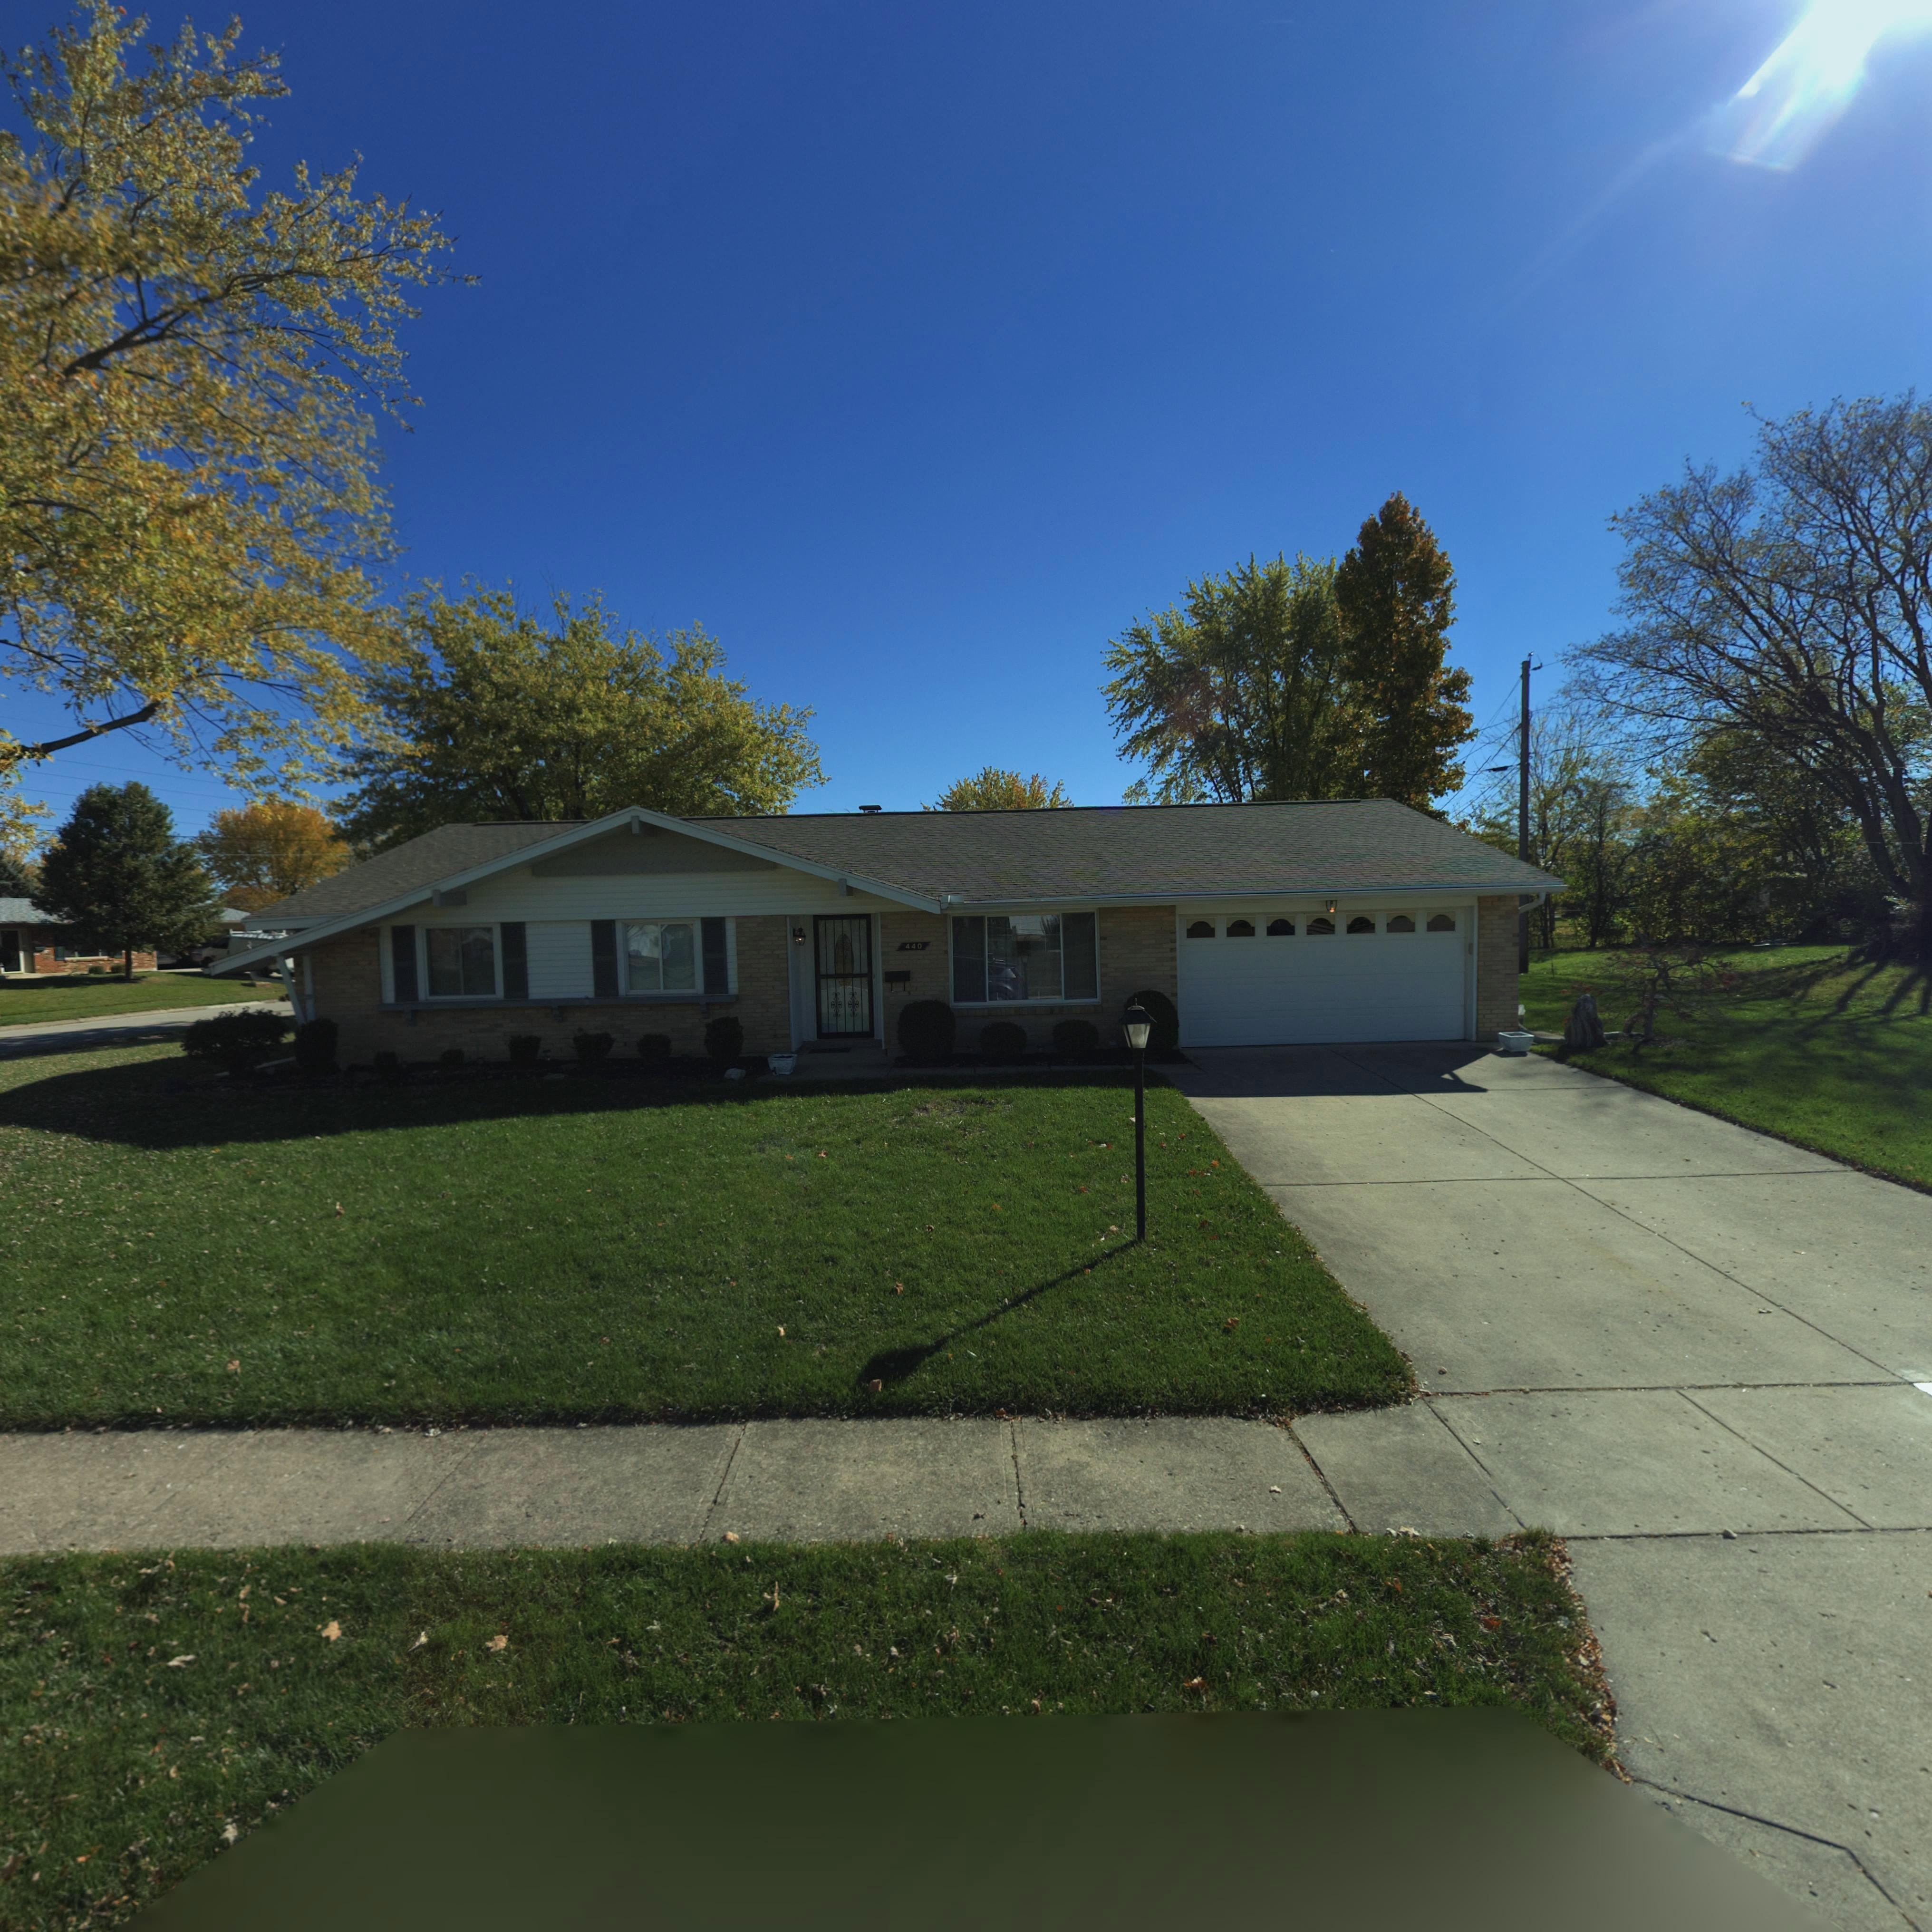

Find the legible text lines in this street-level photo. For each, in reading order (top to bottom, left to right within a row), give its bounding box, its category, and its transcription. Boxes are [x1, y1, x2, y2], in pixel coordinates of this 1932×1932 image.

[904, 942, 923, 950] StreetNumber: 440